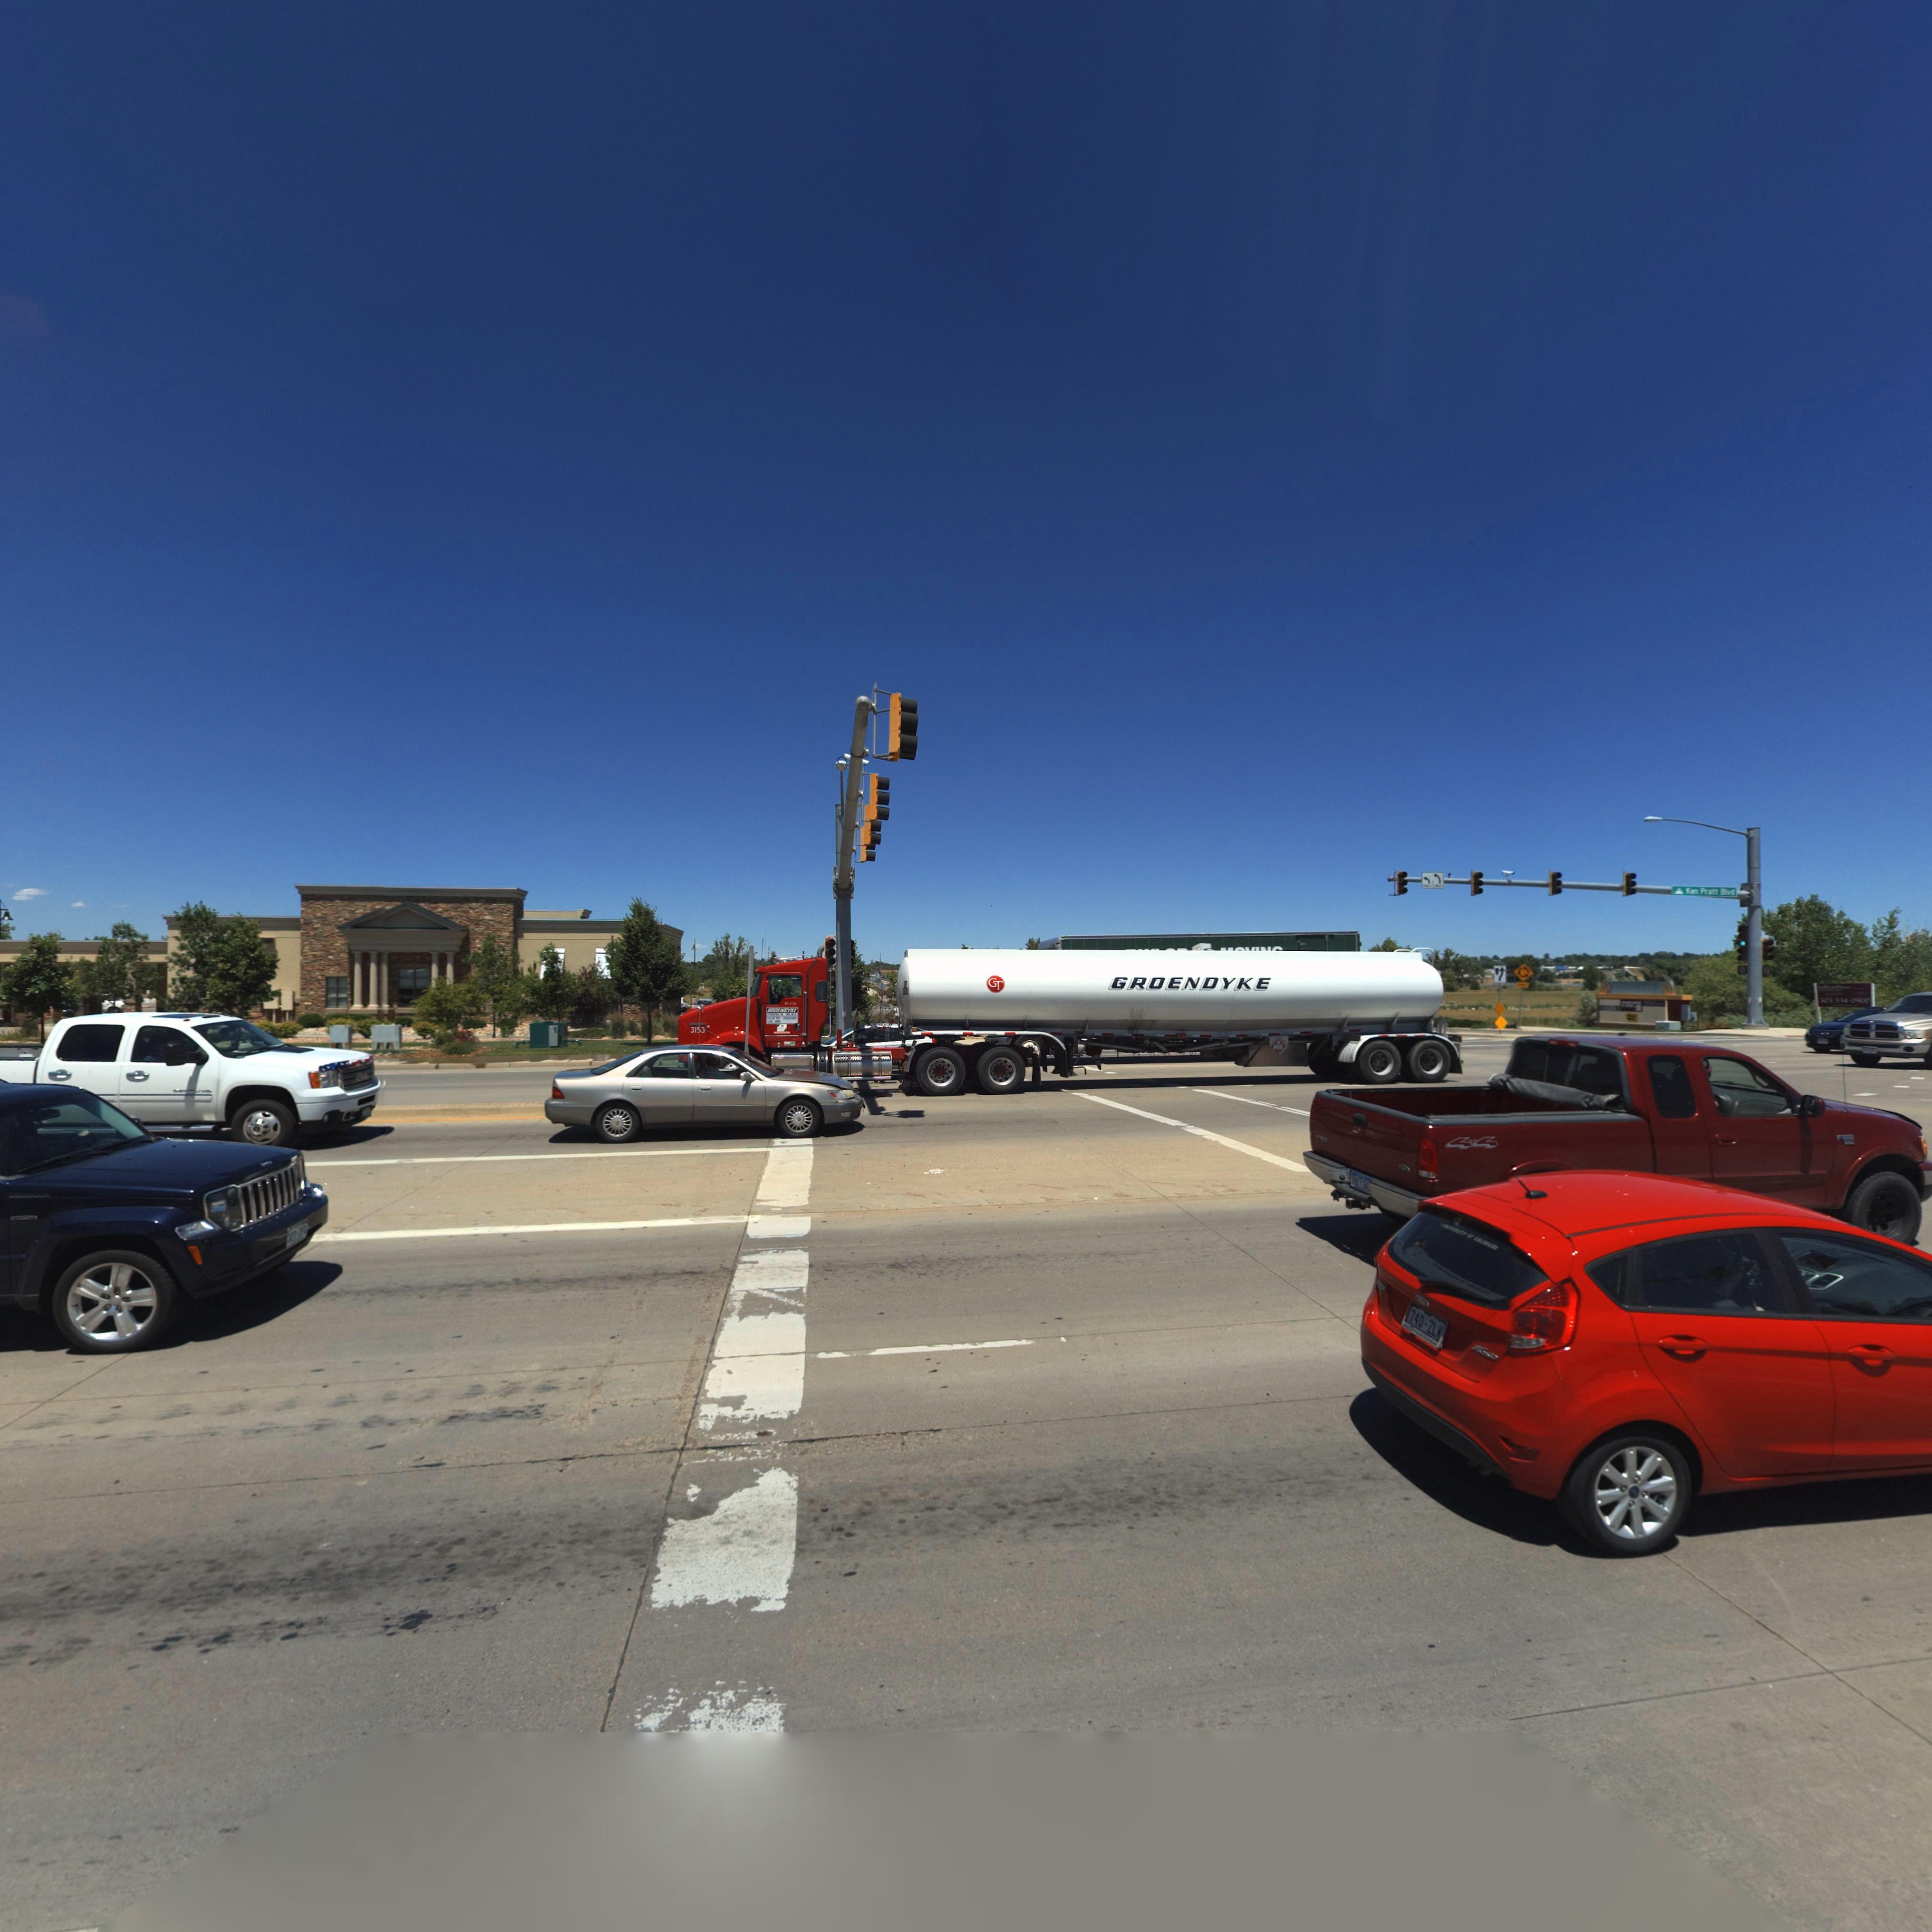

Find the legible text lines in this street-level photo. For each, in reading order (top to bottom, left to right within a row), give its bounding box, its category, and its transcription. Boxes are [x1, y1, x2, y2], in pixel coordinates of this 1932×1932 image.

[1685, 887, 1736, 896] StreetName: Ken Pratt Blvd